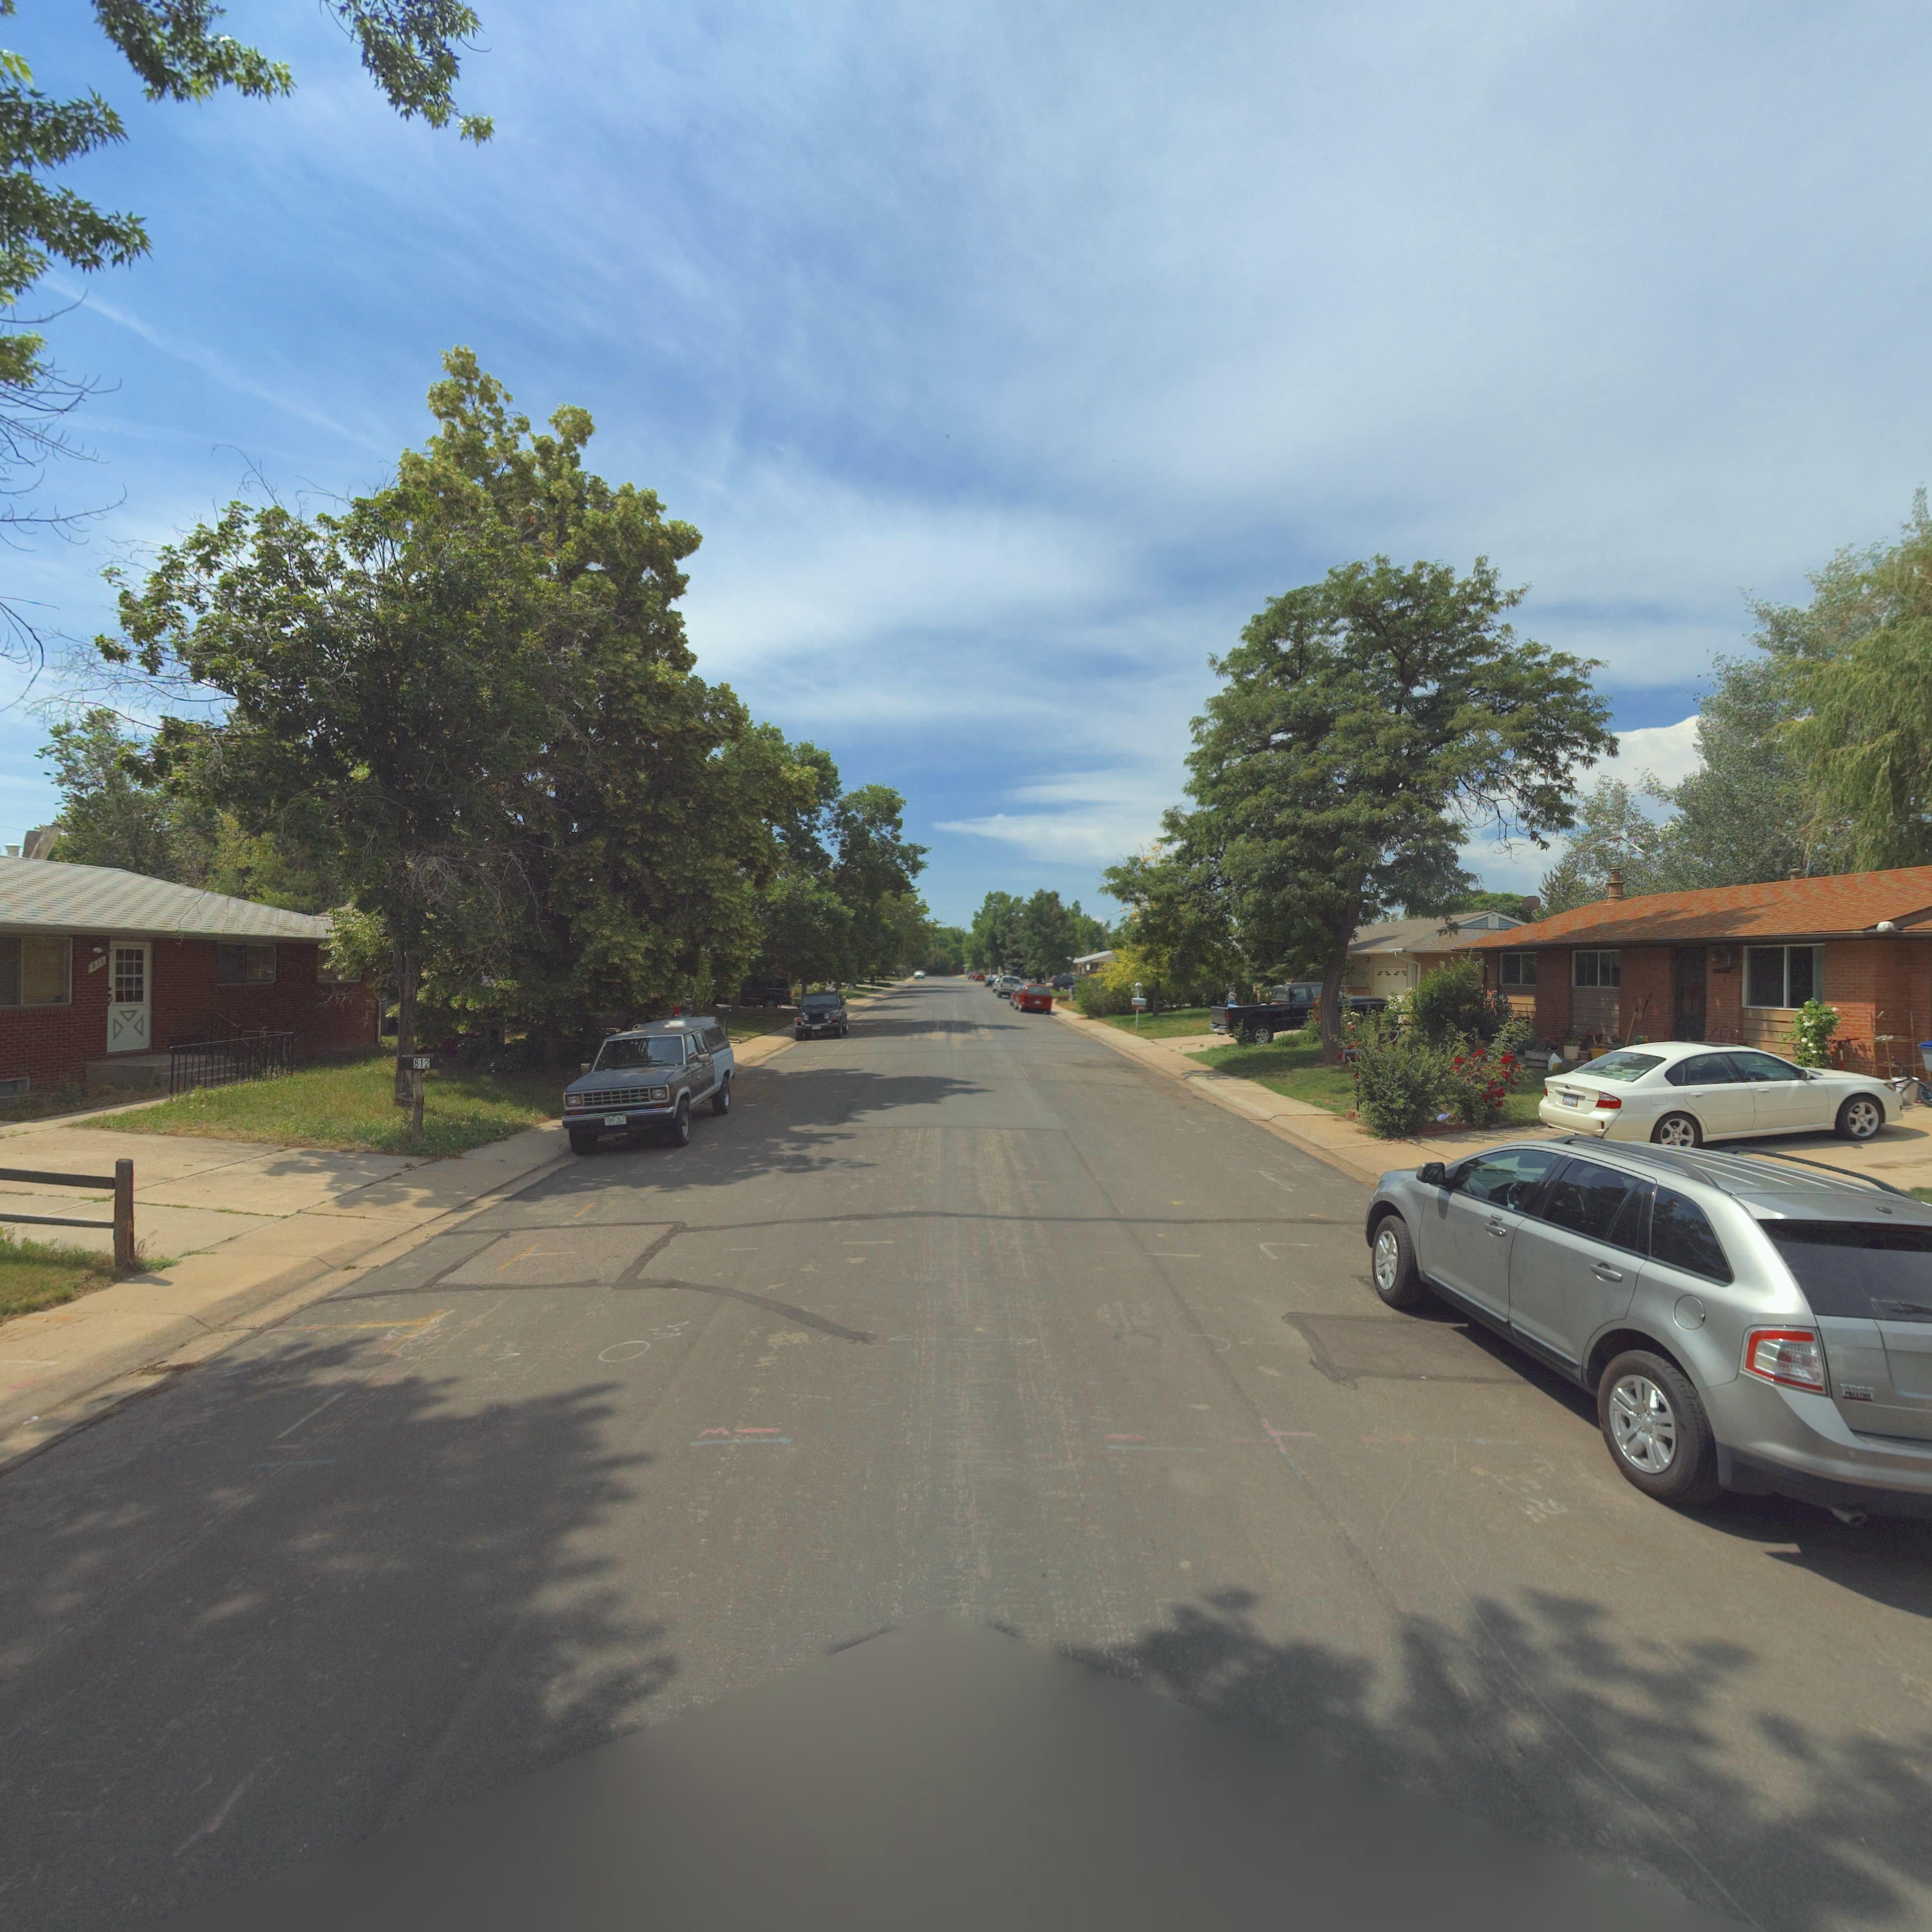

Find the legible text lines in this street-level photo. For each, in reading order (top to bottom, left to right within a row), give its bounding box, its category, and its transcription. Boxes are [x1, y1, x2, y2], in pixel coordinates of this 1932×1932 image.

[92, 958, 105, 969] StreetNumber: 812
[414, 1058, 429, 1068] StreetNumber: 812